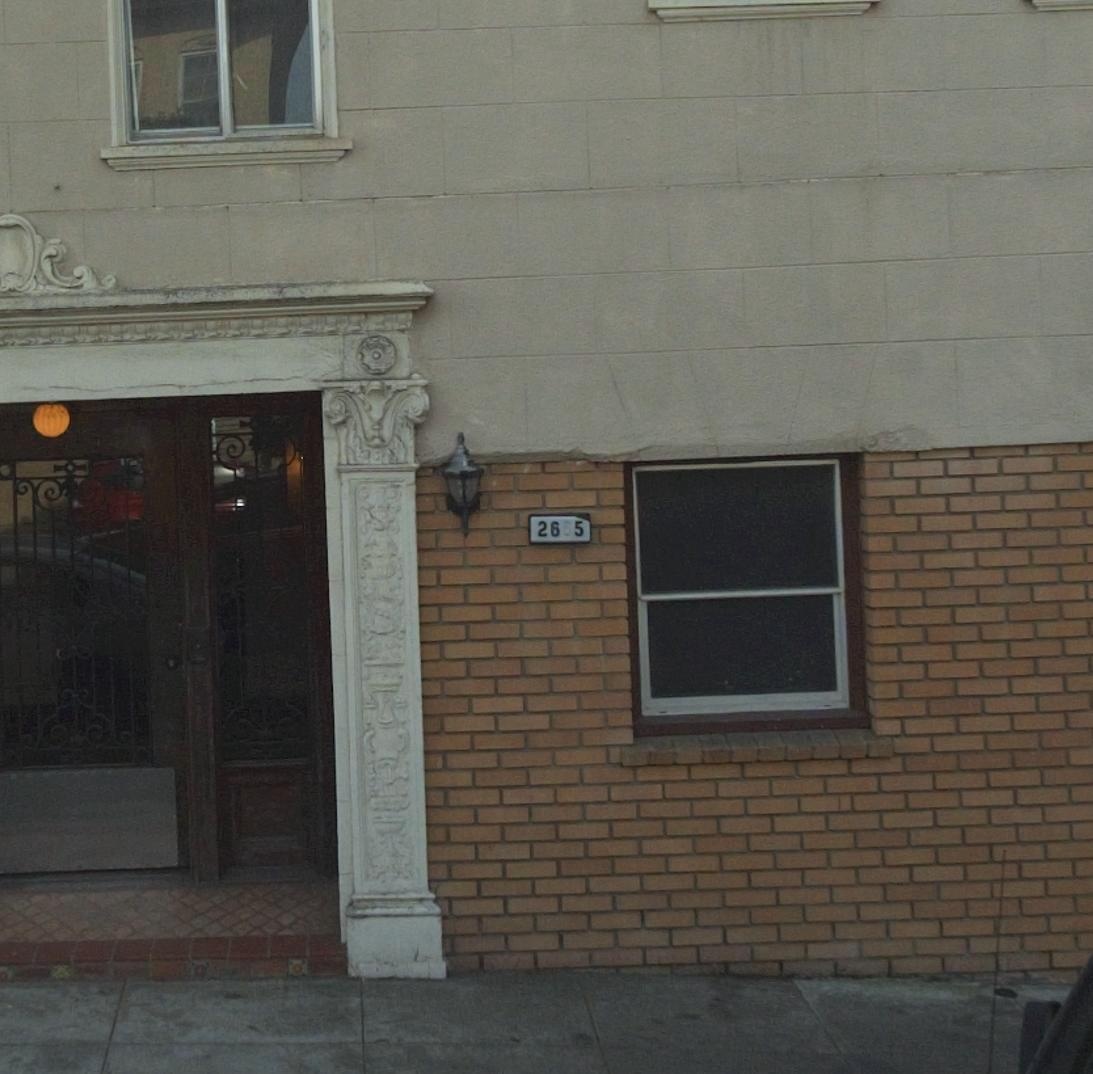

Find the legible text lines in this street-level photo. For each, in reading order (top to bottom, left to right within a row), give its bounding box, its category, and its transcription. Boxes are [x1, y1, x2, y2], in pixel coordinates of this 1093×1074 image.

[535, 518, 586, 540] StreetNumber: 2665